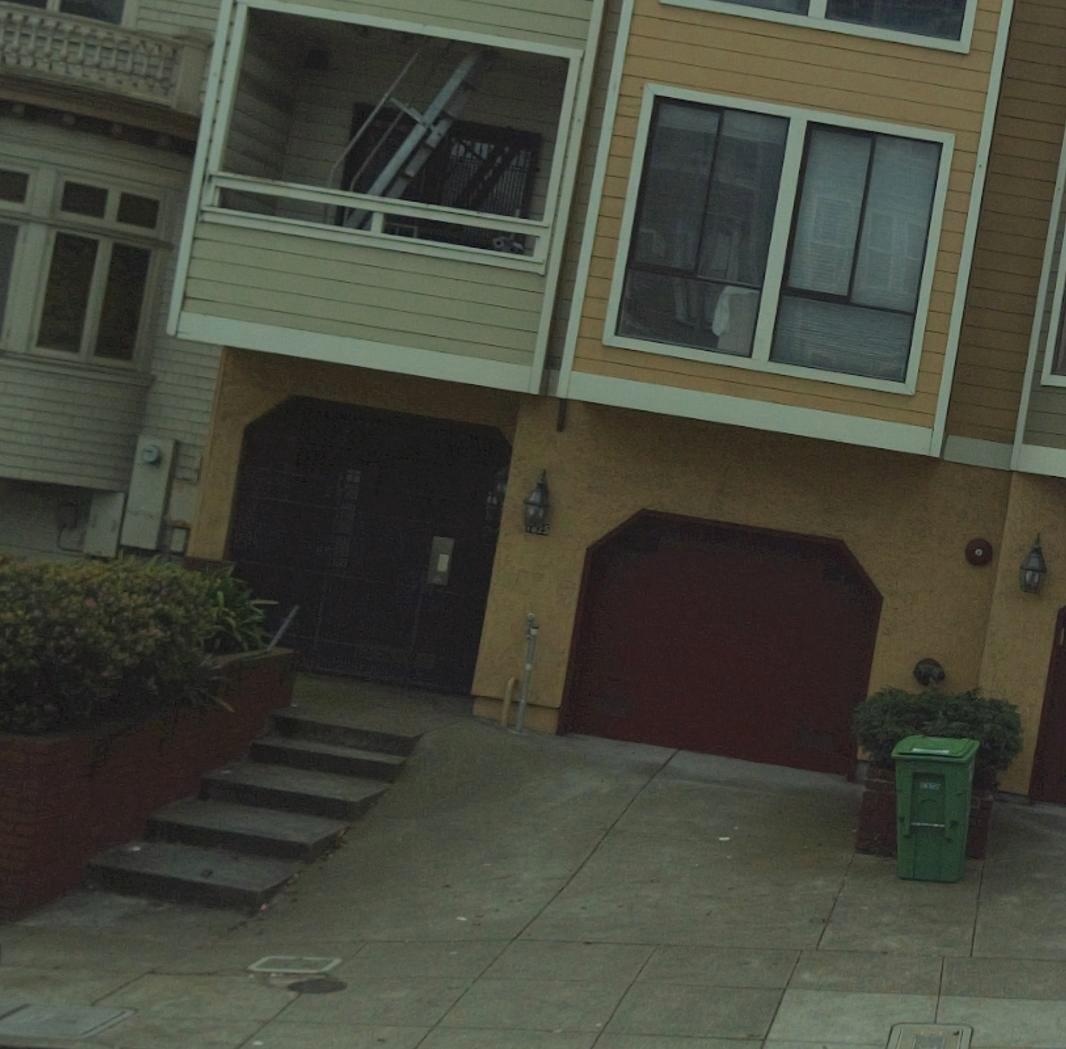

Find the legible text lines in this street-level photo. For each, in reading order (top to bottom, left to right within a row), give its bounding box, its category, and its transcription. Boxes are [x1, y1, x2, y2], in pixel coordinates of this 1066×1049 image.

[524, 519, 551, 537] StreetNumber: **25